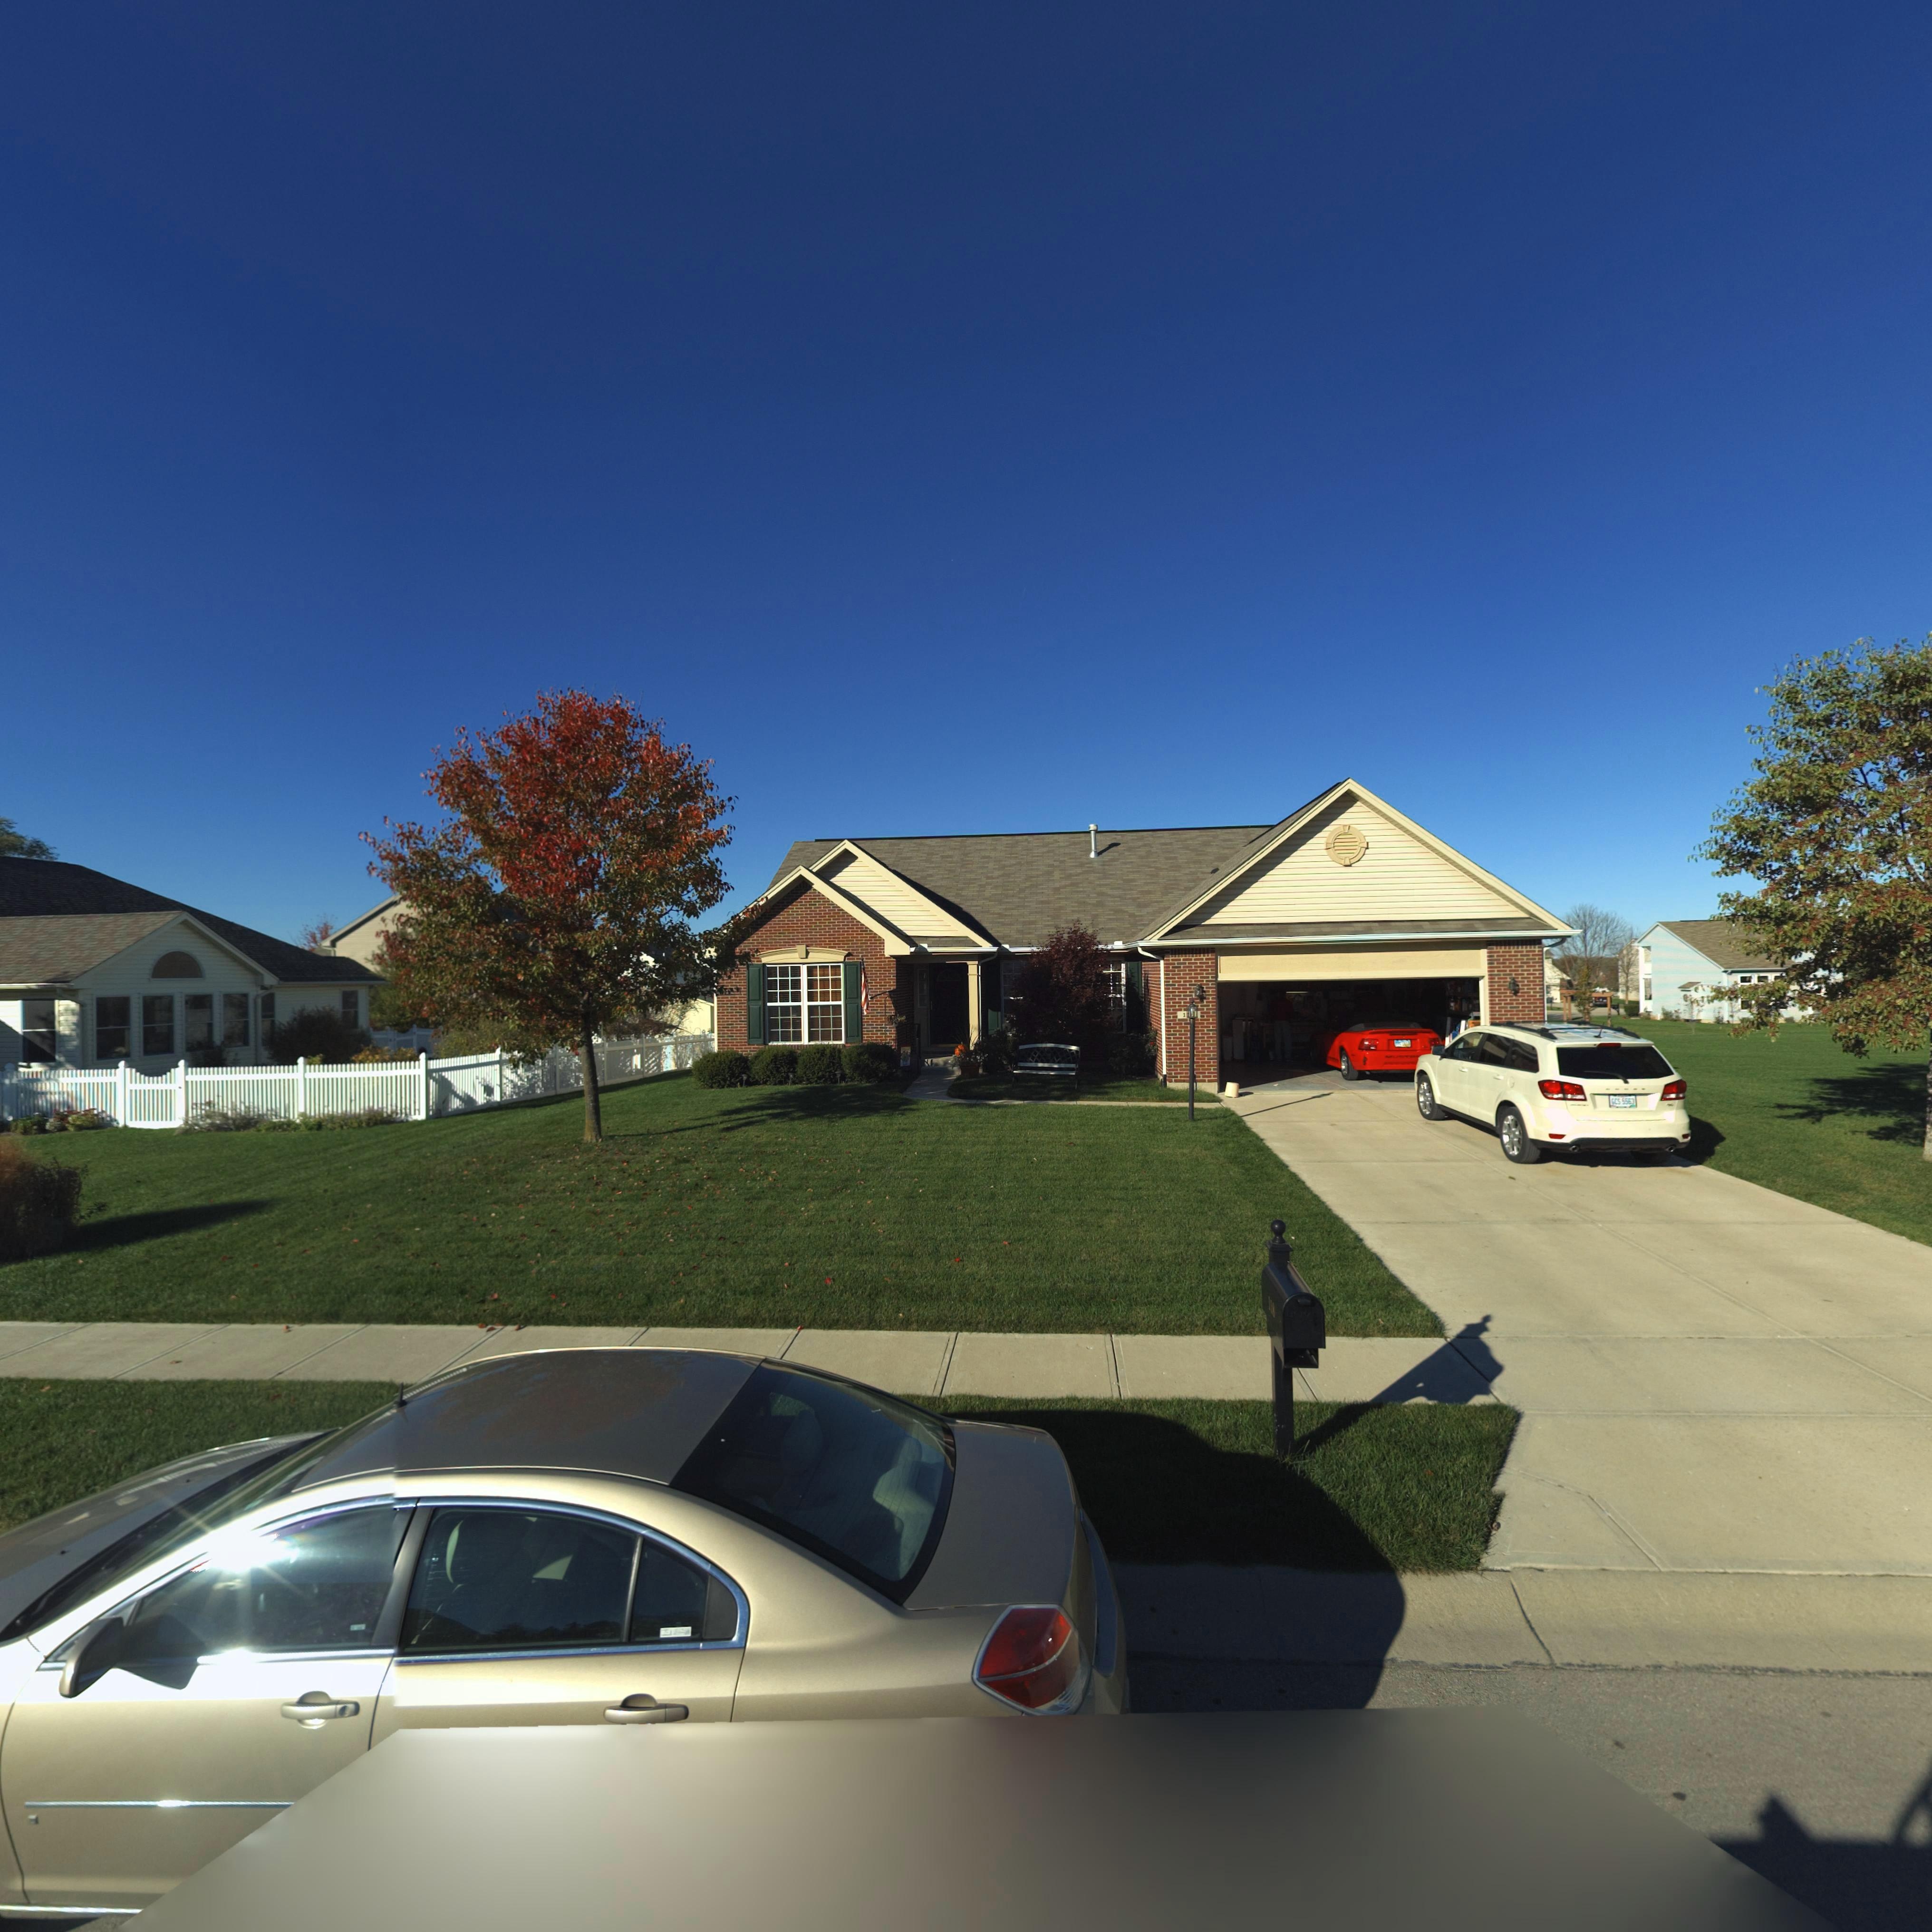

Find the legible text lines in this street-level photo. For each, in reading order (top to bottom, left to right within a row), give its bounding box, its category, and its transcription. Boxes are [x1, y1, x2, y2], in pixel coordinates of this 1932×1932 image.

[1182, 1012, 1187, 1018] StreetNumber: 1
[1610, 1097, 1635, 1106] None: GCS 5563